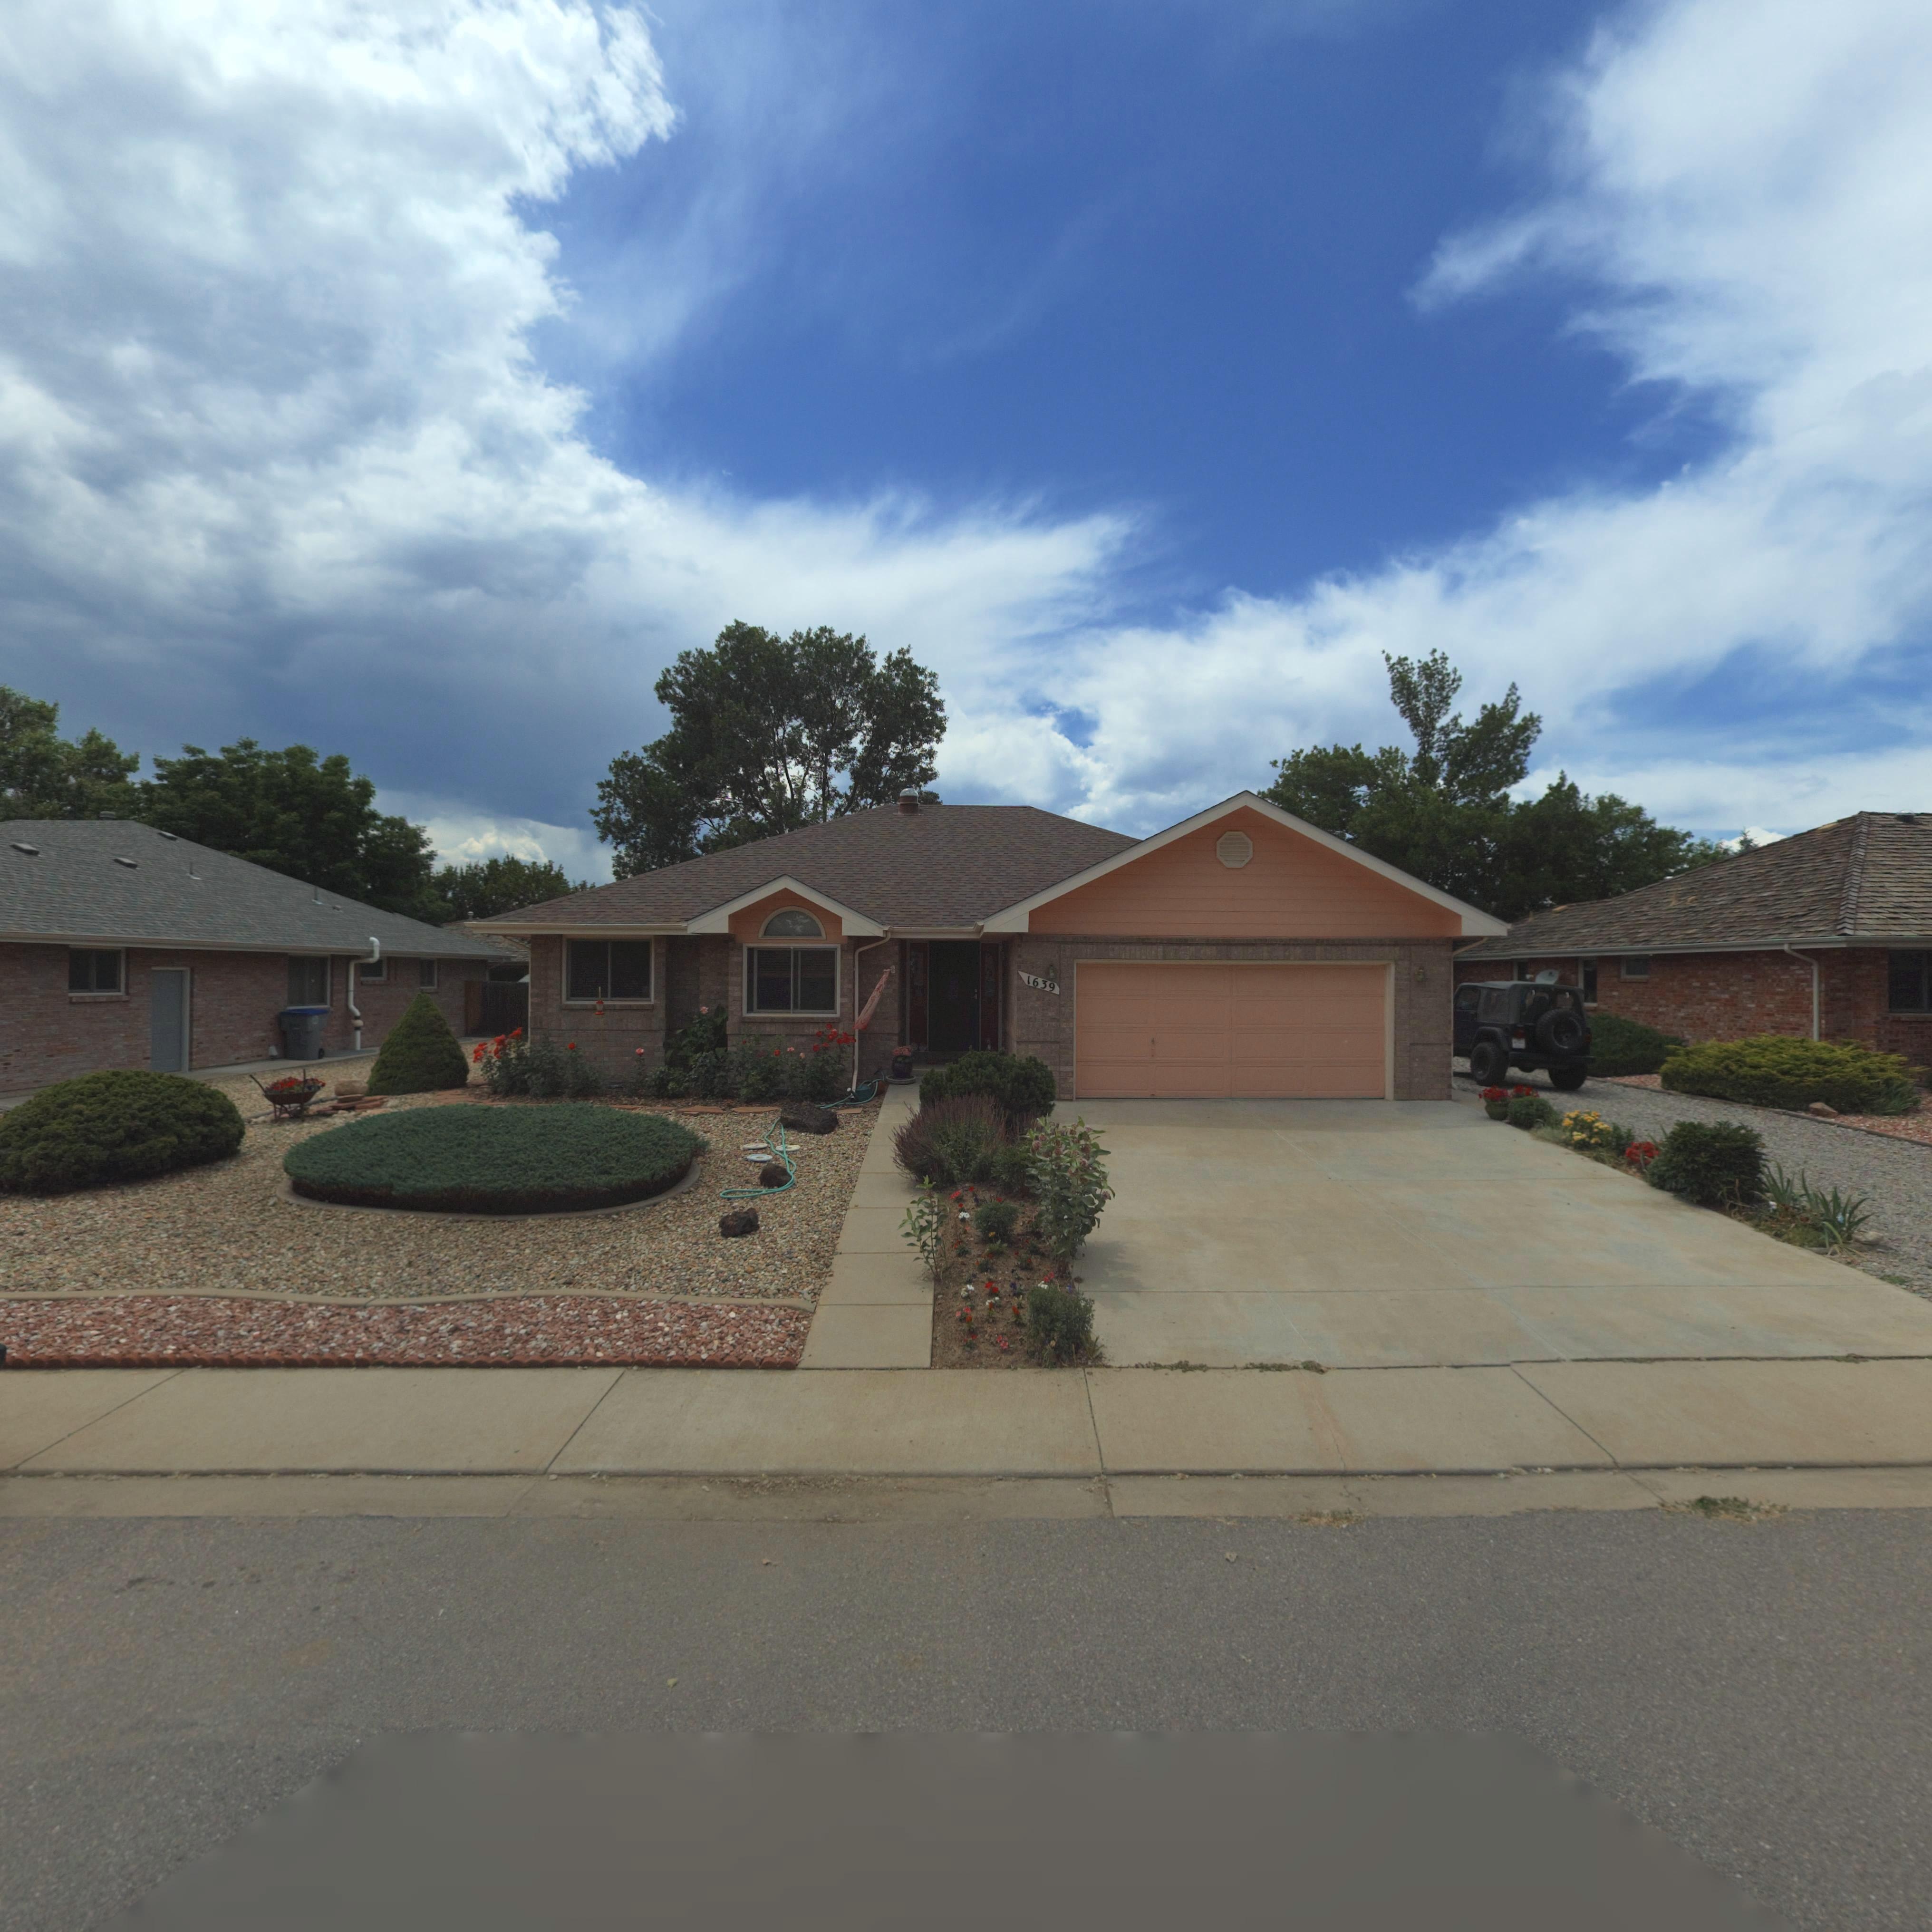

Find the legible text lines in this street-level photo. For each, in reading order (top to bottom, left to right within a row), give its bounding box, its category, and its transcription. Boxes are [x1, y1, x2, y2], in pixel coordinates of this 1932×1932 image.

[1026, 973, 1056, 992] StreetNumber: 1639